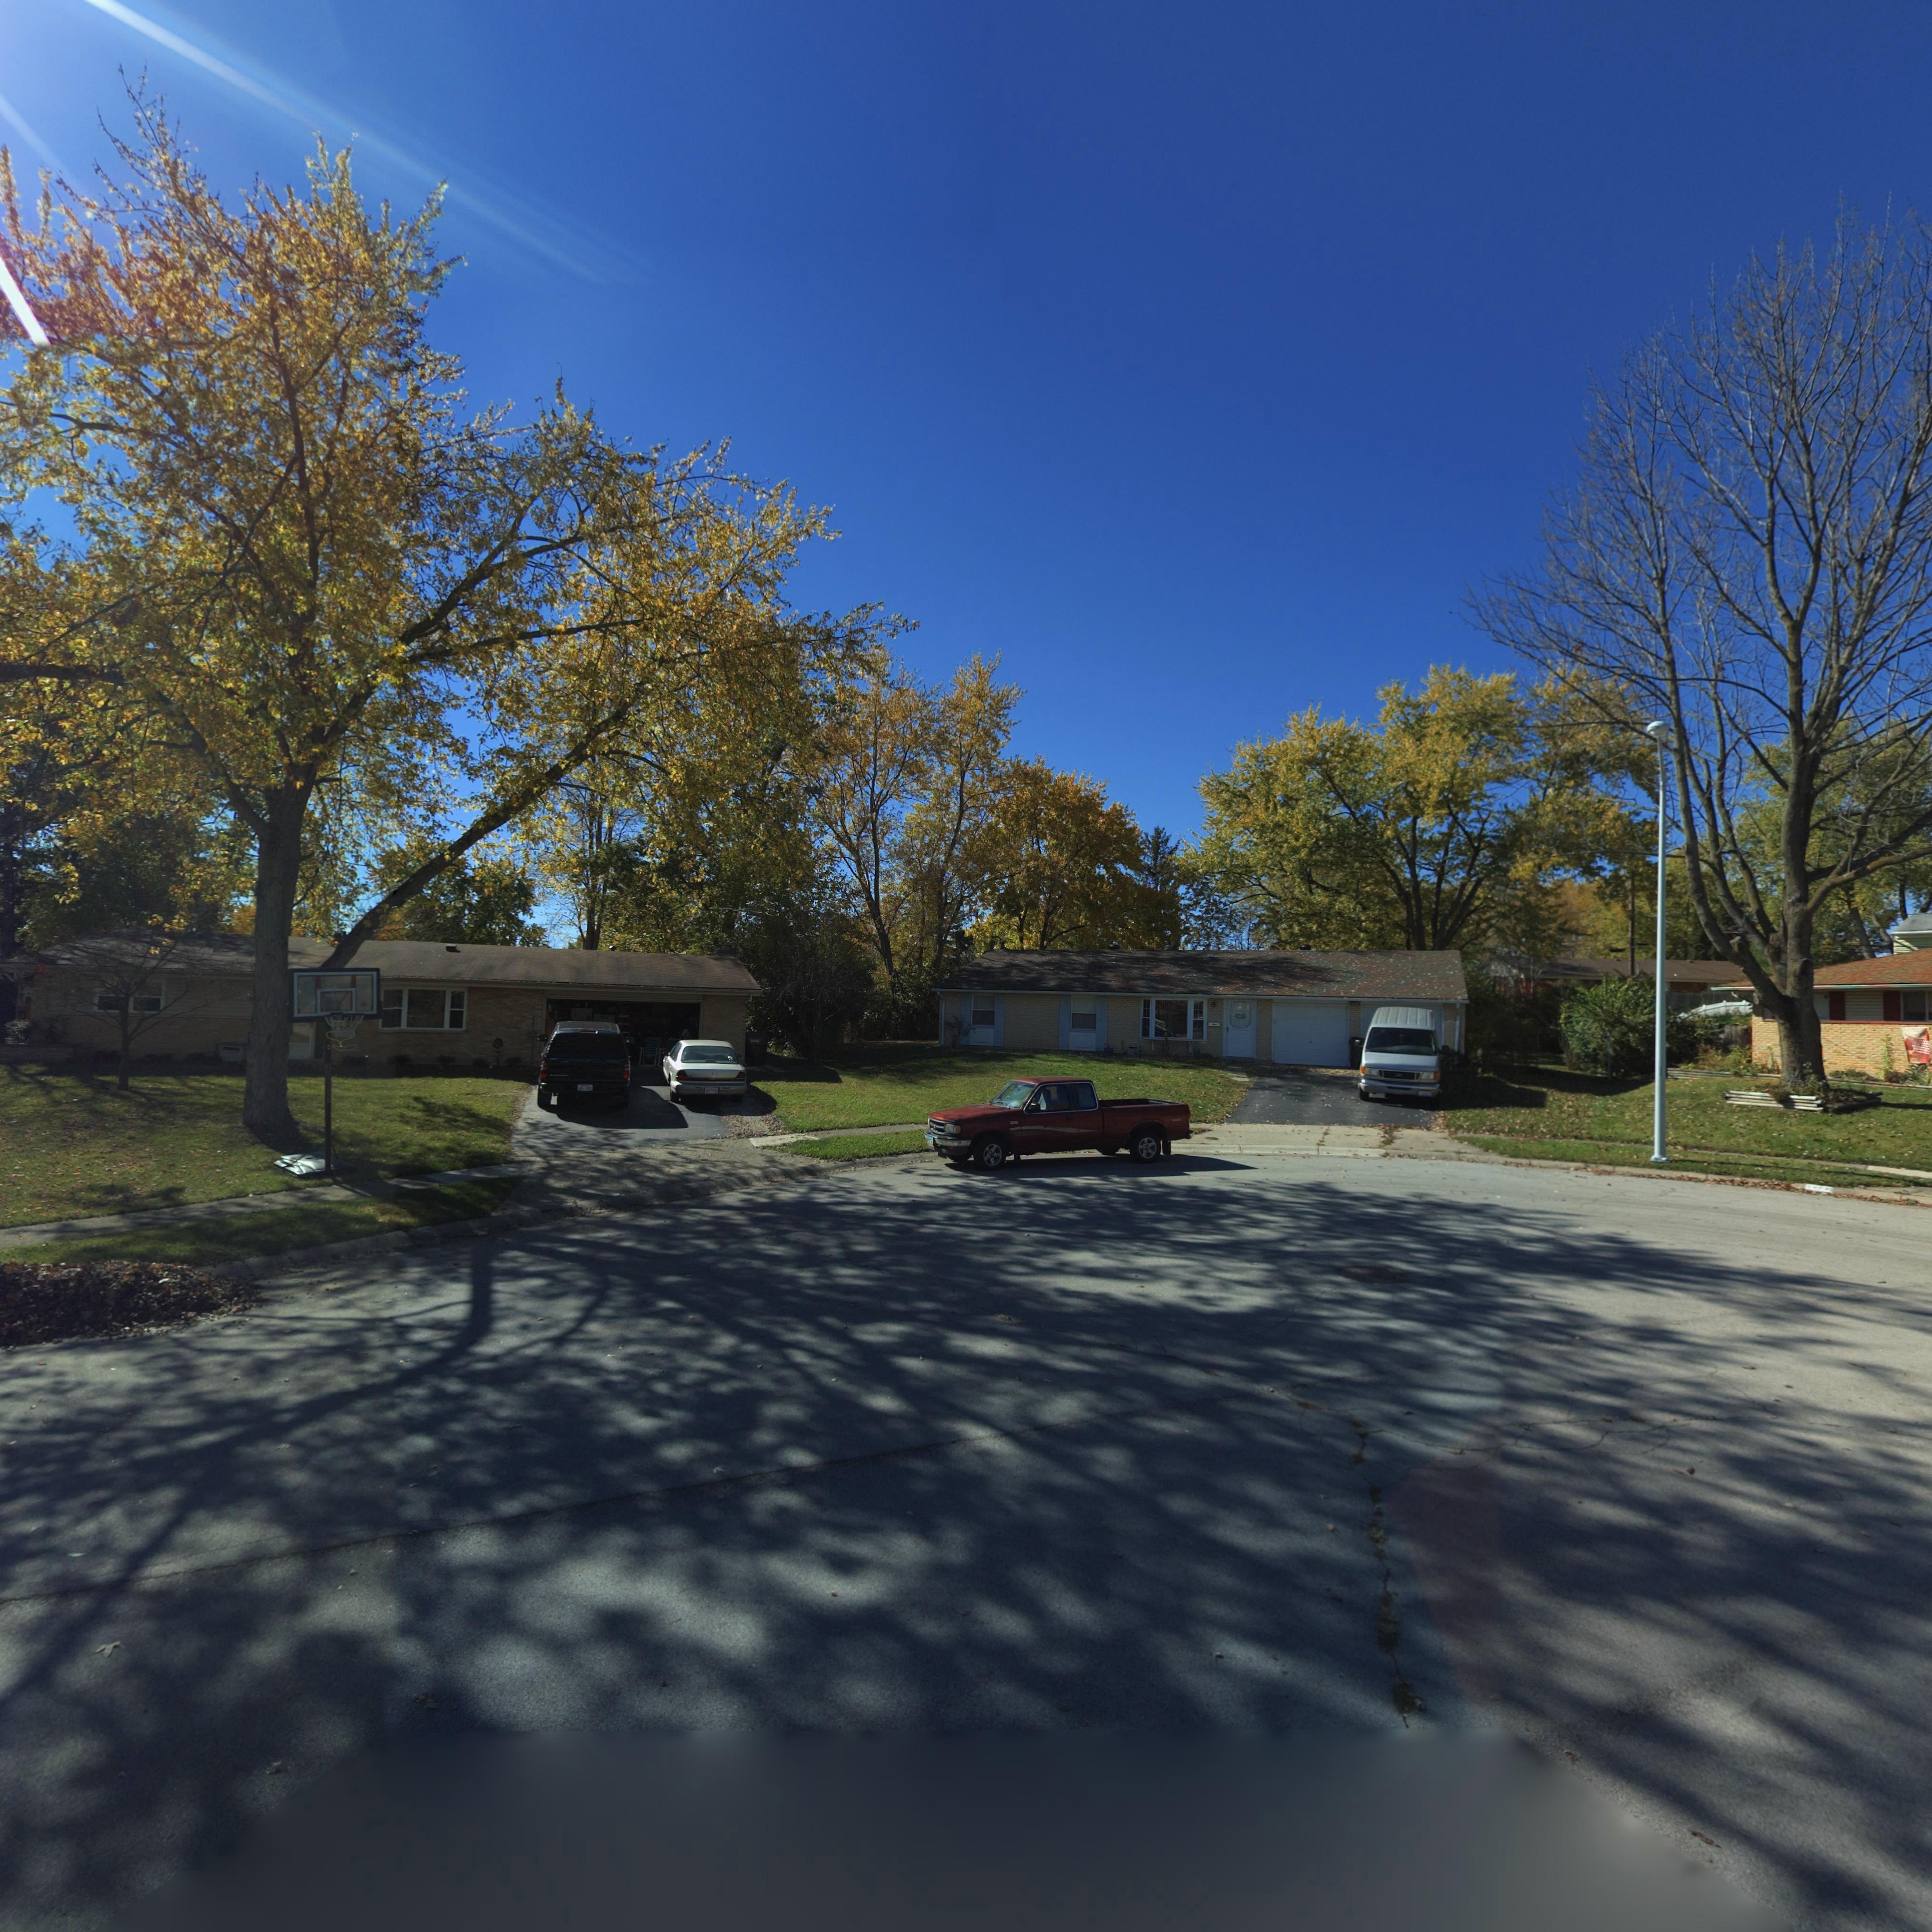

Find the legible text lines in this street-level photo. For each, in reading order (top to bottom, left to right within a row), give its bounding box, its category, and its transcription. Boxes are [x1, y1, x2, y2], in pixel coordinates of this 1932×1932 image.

[1807, 1184, 1830, 1191] StreetNumber: 100*